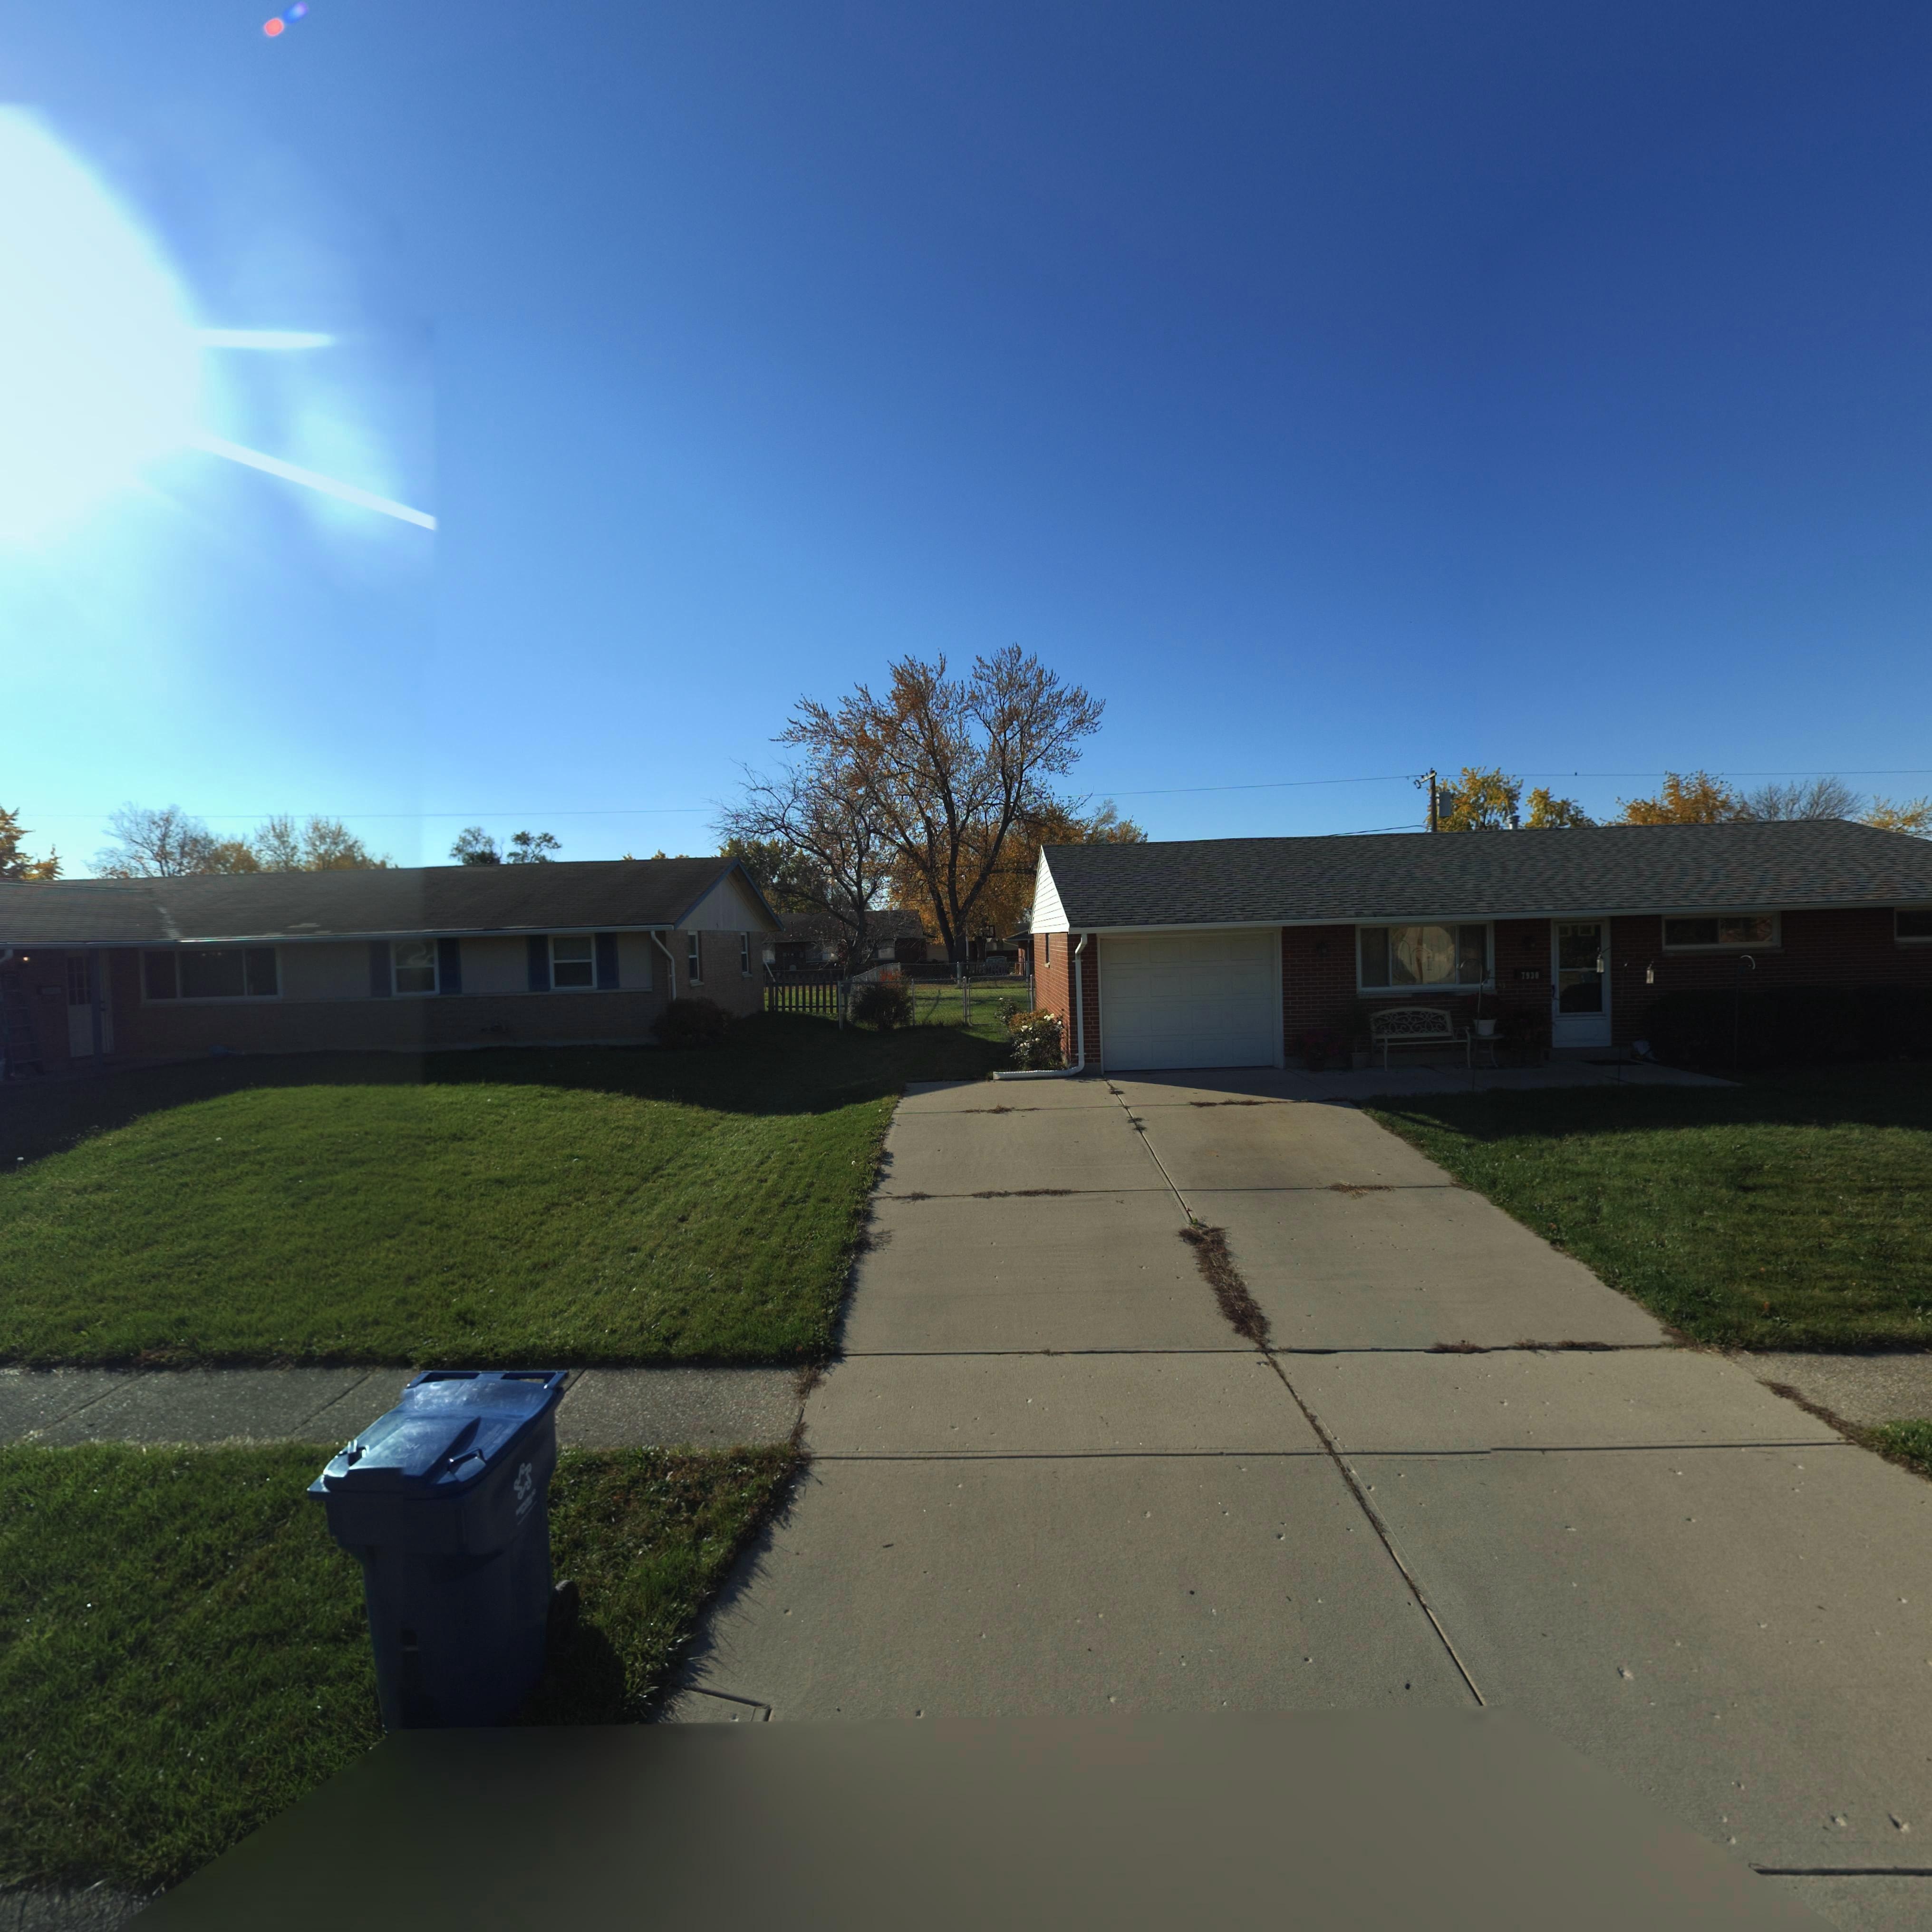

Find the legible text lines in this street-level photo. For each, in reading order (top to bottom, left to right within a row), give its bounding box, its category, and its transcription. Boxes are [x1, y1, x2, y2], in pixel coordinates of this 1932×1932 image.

[1520, 971, 1540, 981] StreetNumber: 7930